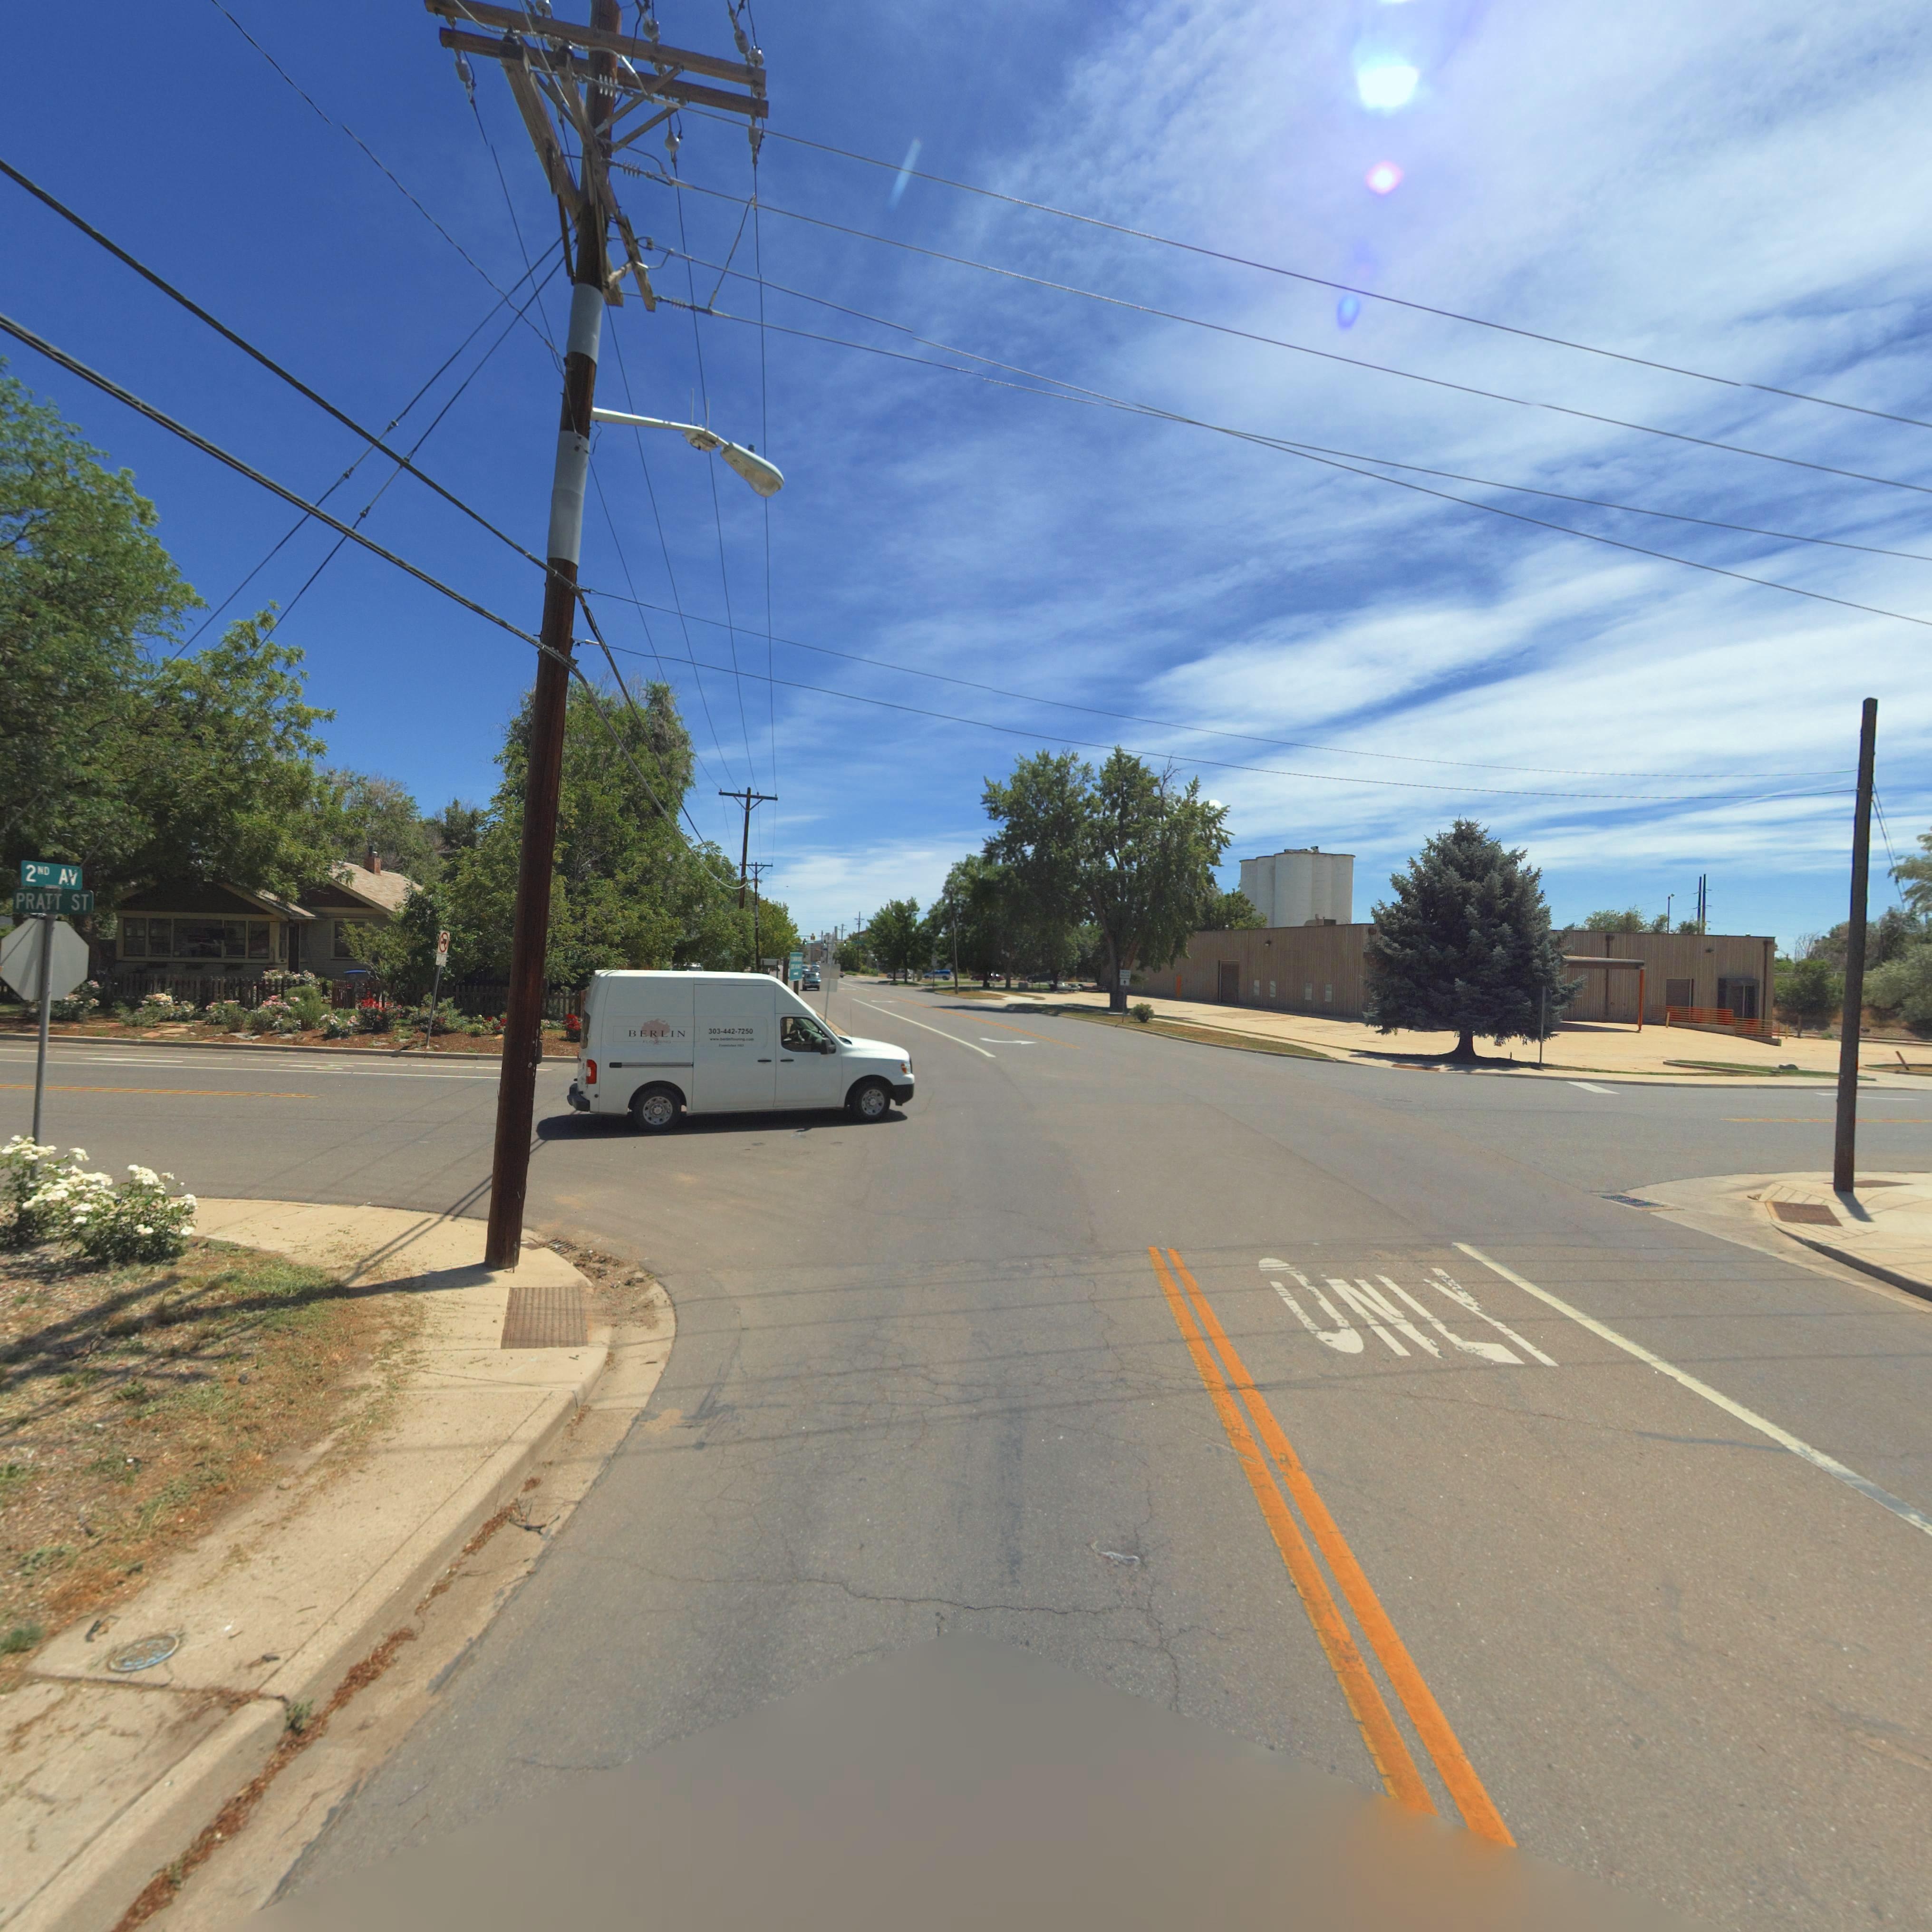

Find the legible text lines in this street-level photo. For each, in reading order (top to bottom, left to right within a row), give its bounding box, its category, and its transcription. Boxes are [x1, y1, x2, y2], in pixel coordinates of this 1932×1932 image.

[25, 864, 78, 886] StreetName: 2ND AV
[16, 892, 89, 911] StreetName: PRATT ST